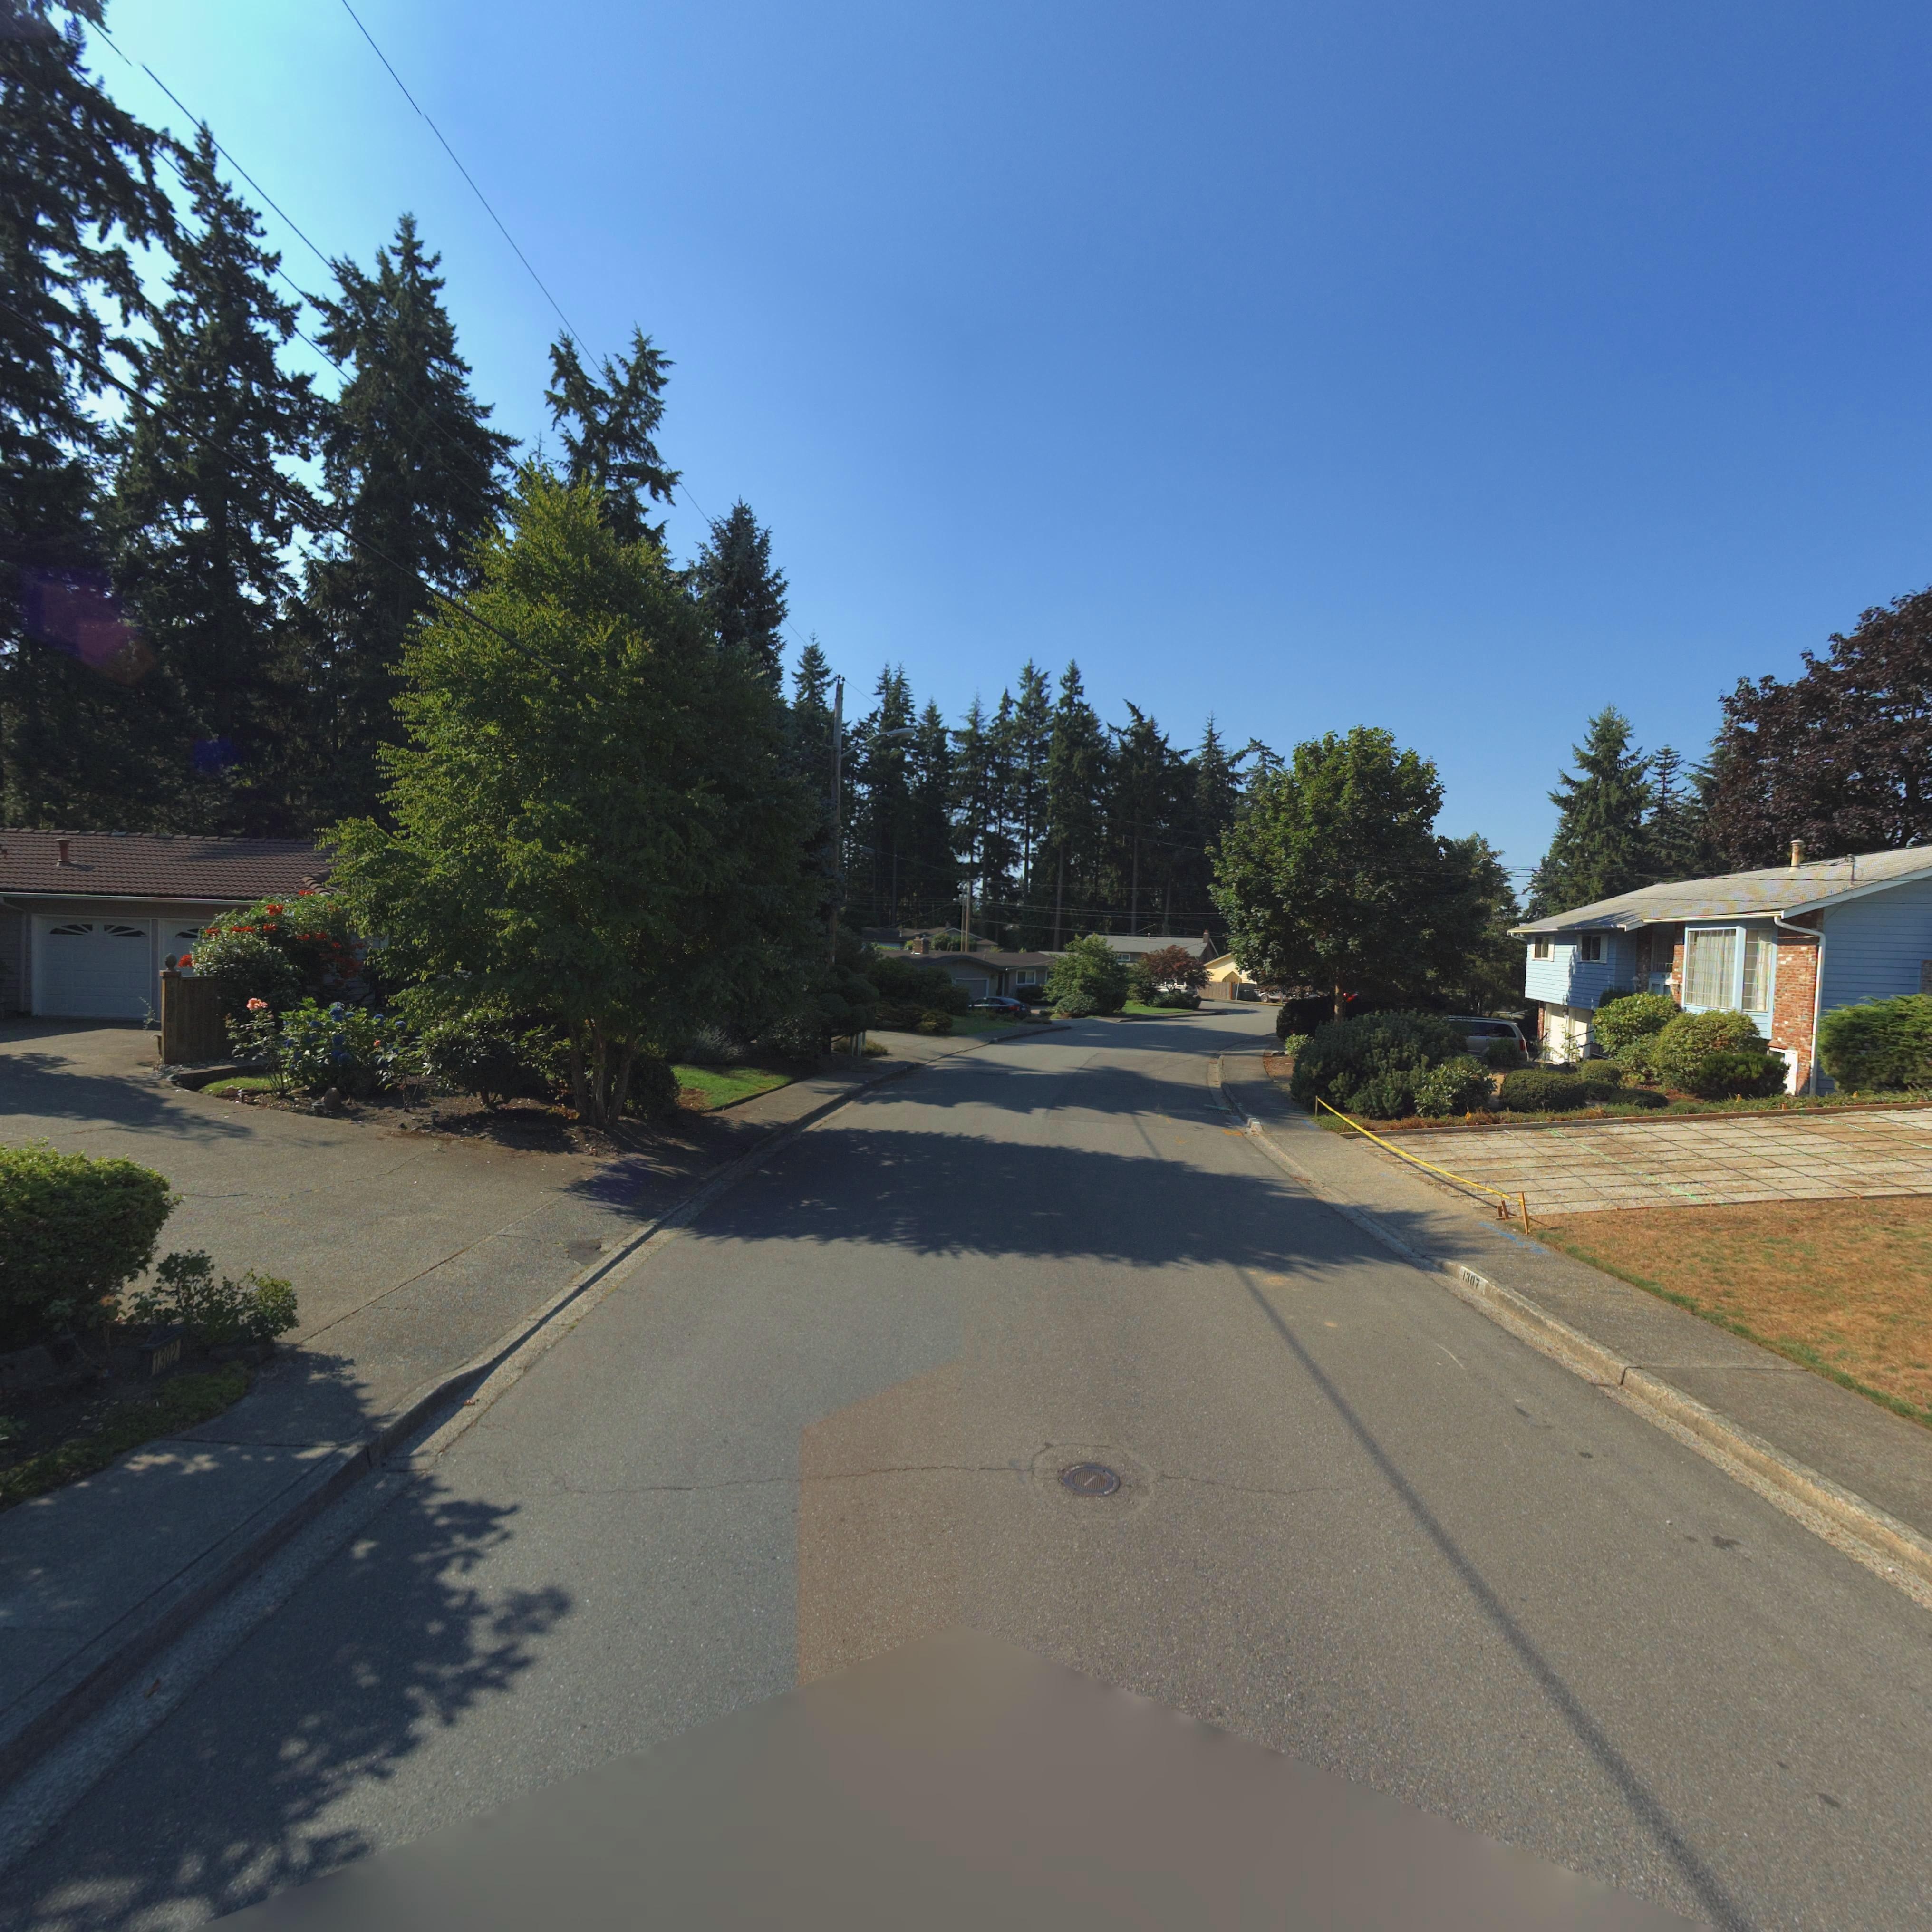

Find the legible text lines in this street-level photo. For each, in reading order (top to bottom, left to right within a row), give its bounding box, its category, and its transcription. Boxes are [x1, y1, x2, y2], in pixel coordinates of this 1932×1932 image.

[1462, 1268, 1480, 1291] StreetNumber: 1307
[152, 1339, 181, 1375] StreetNumber: 1302